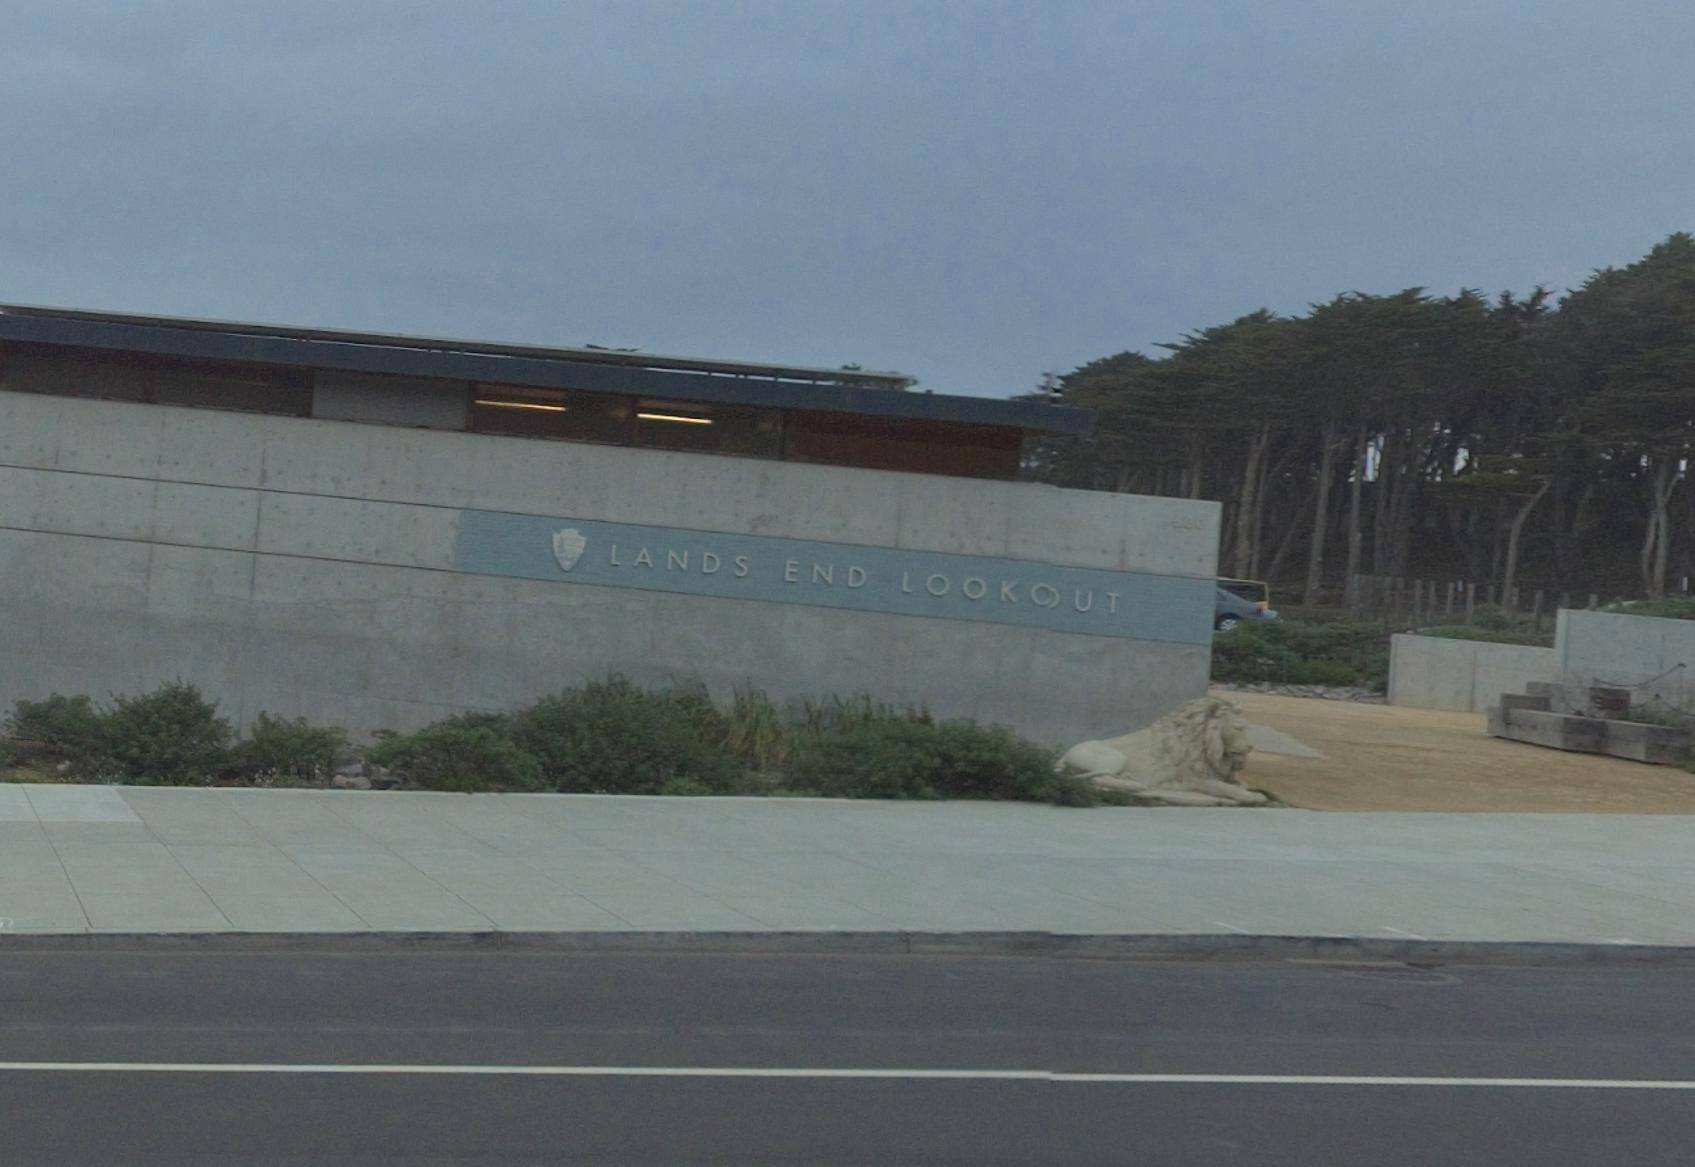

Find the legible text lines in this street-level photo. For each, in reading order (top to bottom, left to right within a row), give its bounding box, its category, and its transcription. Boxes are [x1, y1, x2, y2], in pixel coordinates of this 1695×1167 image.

[1168, 512, 1208, 533] StreetNumber: 6*0
[608, 542, 1122, 618] BusinessName: LANDS END LOOK*UT